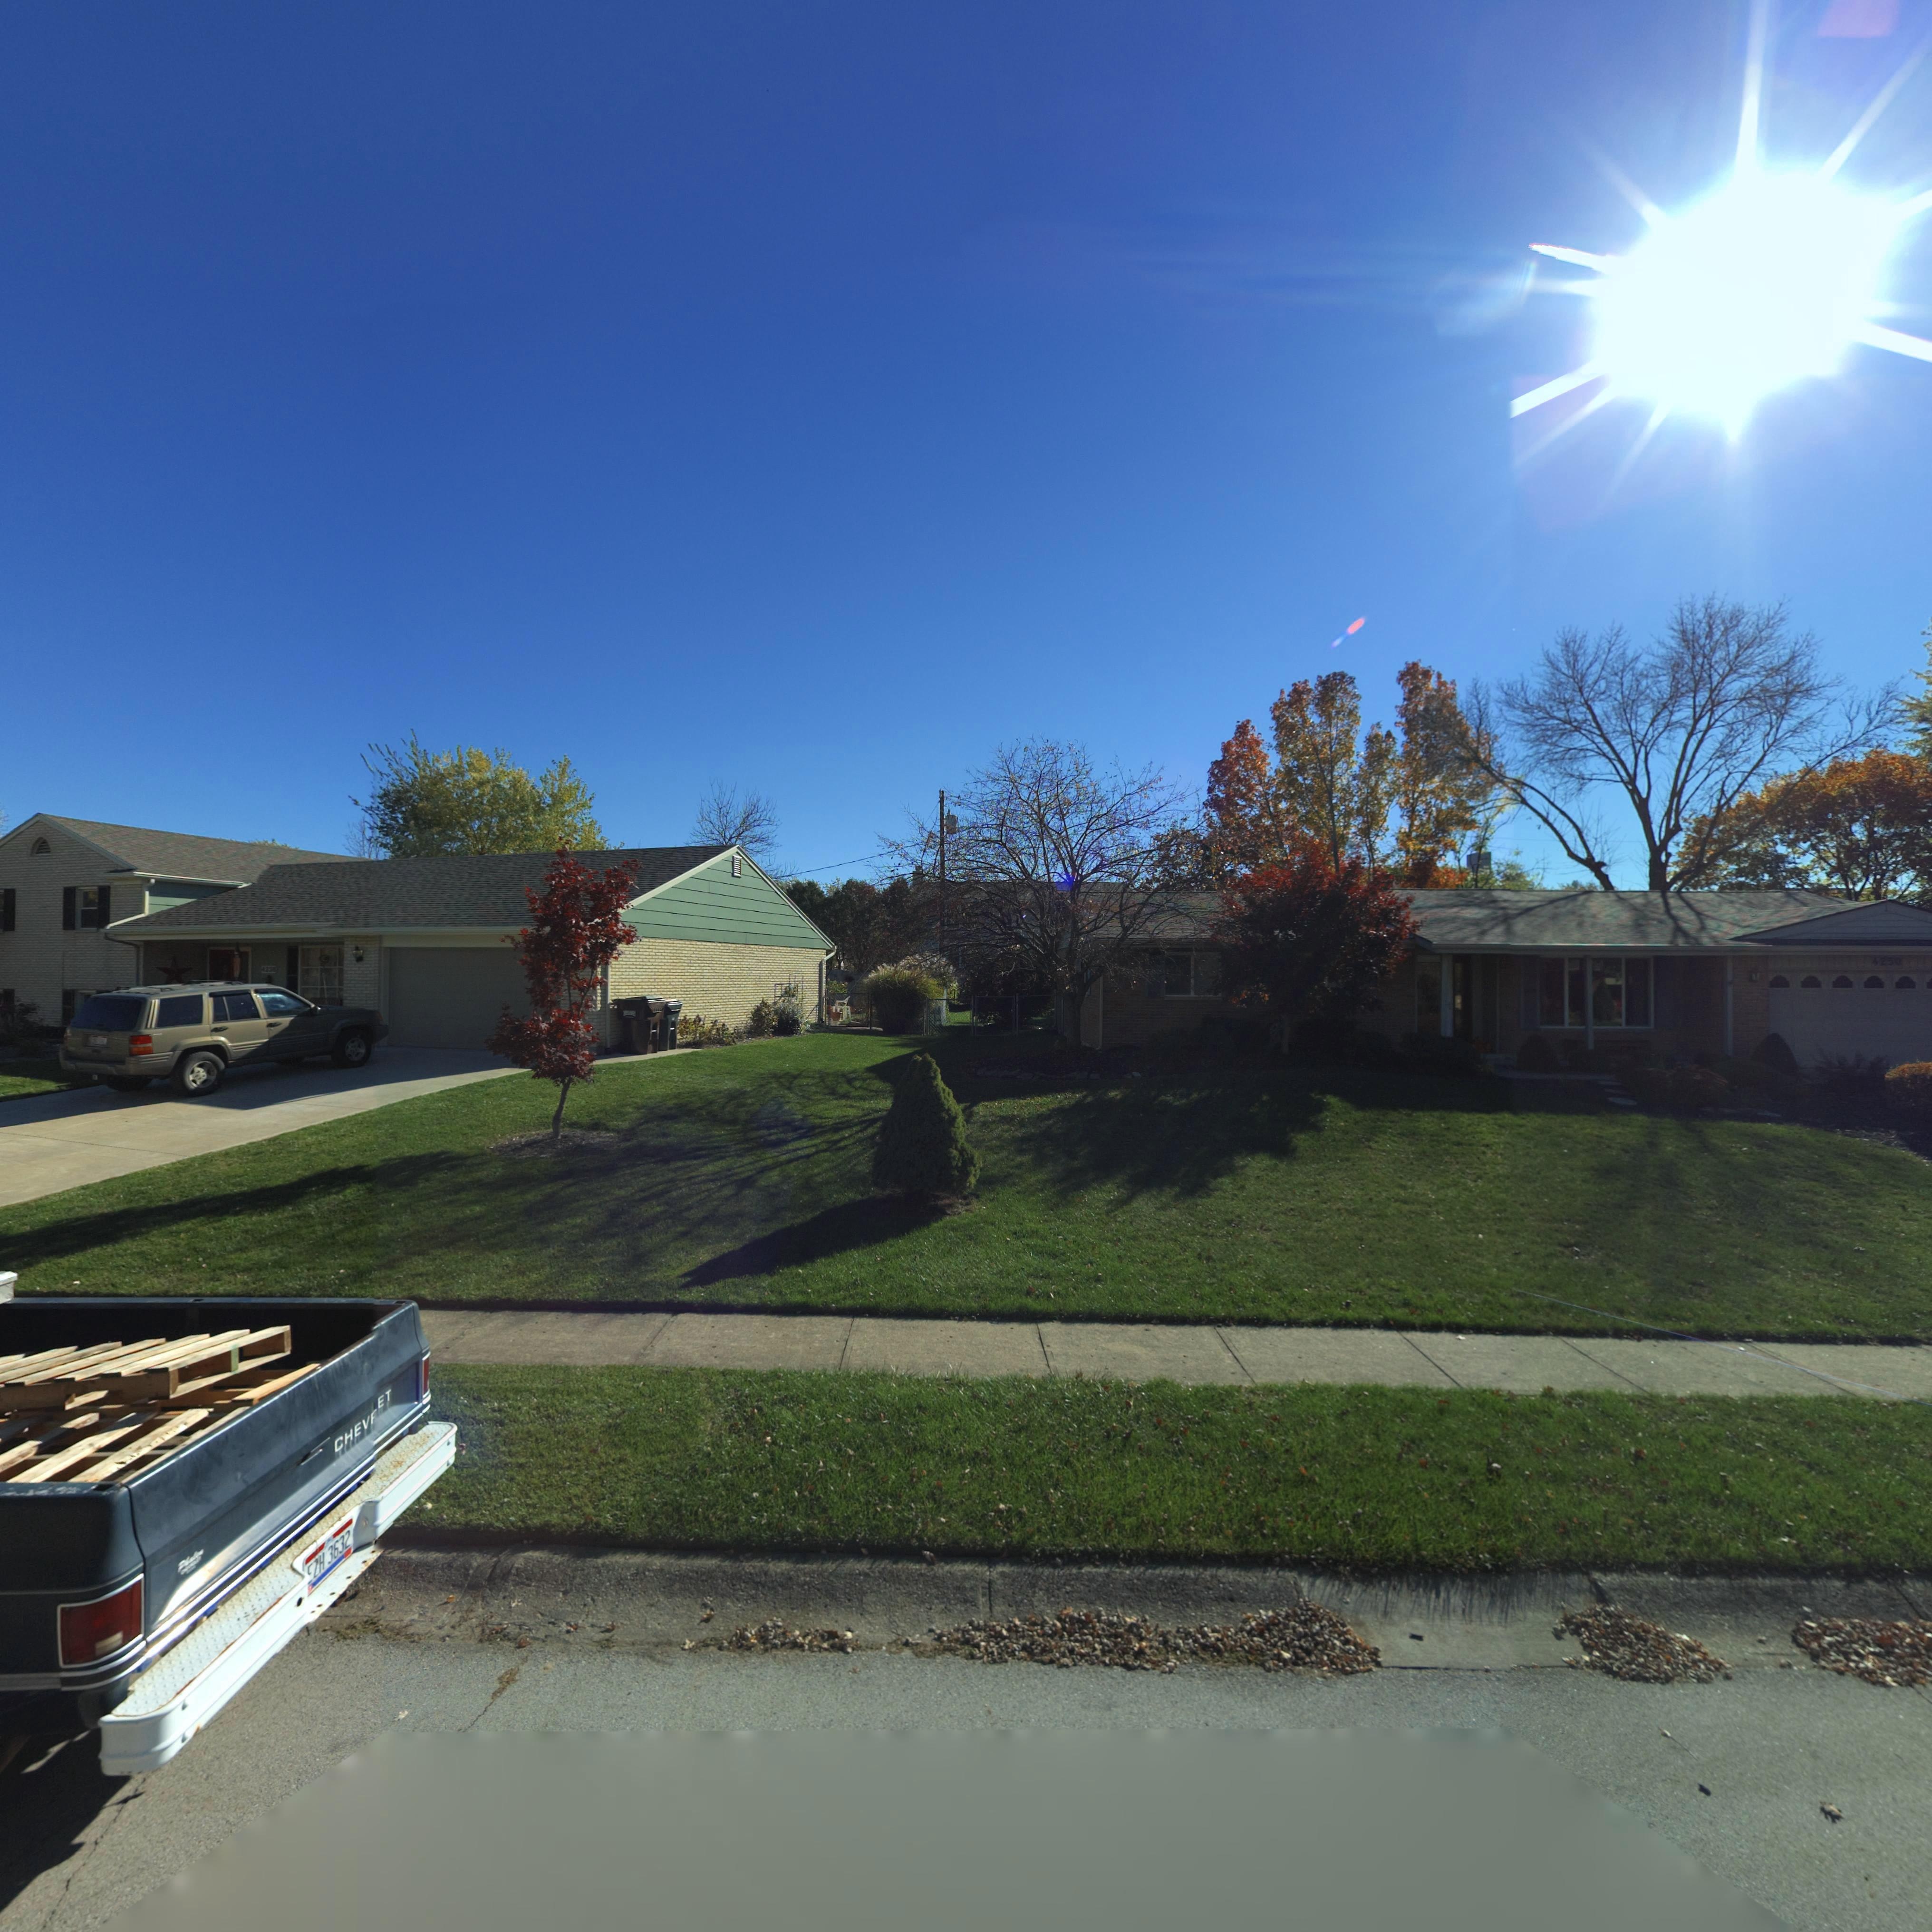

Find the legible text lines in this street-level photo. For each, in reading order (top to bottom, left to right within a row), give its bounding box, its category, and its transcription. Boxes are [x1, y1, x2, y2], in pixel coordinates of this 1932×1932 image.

[1871, 956, 1904, 967] StreetNumber: 42*0
[333, 1386, 393, 1454] None: CHEV*ET
[307, 1527, 351, 1587] None: EZH*3632